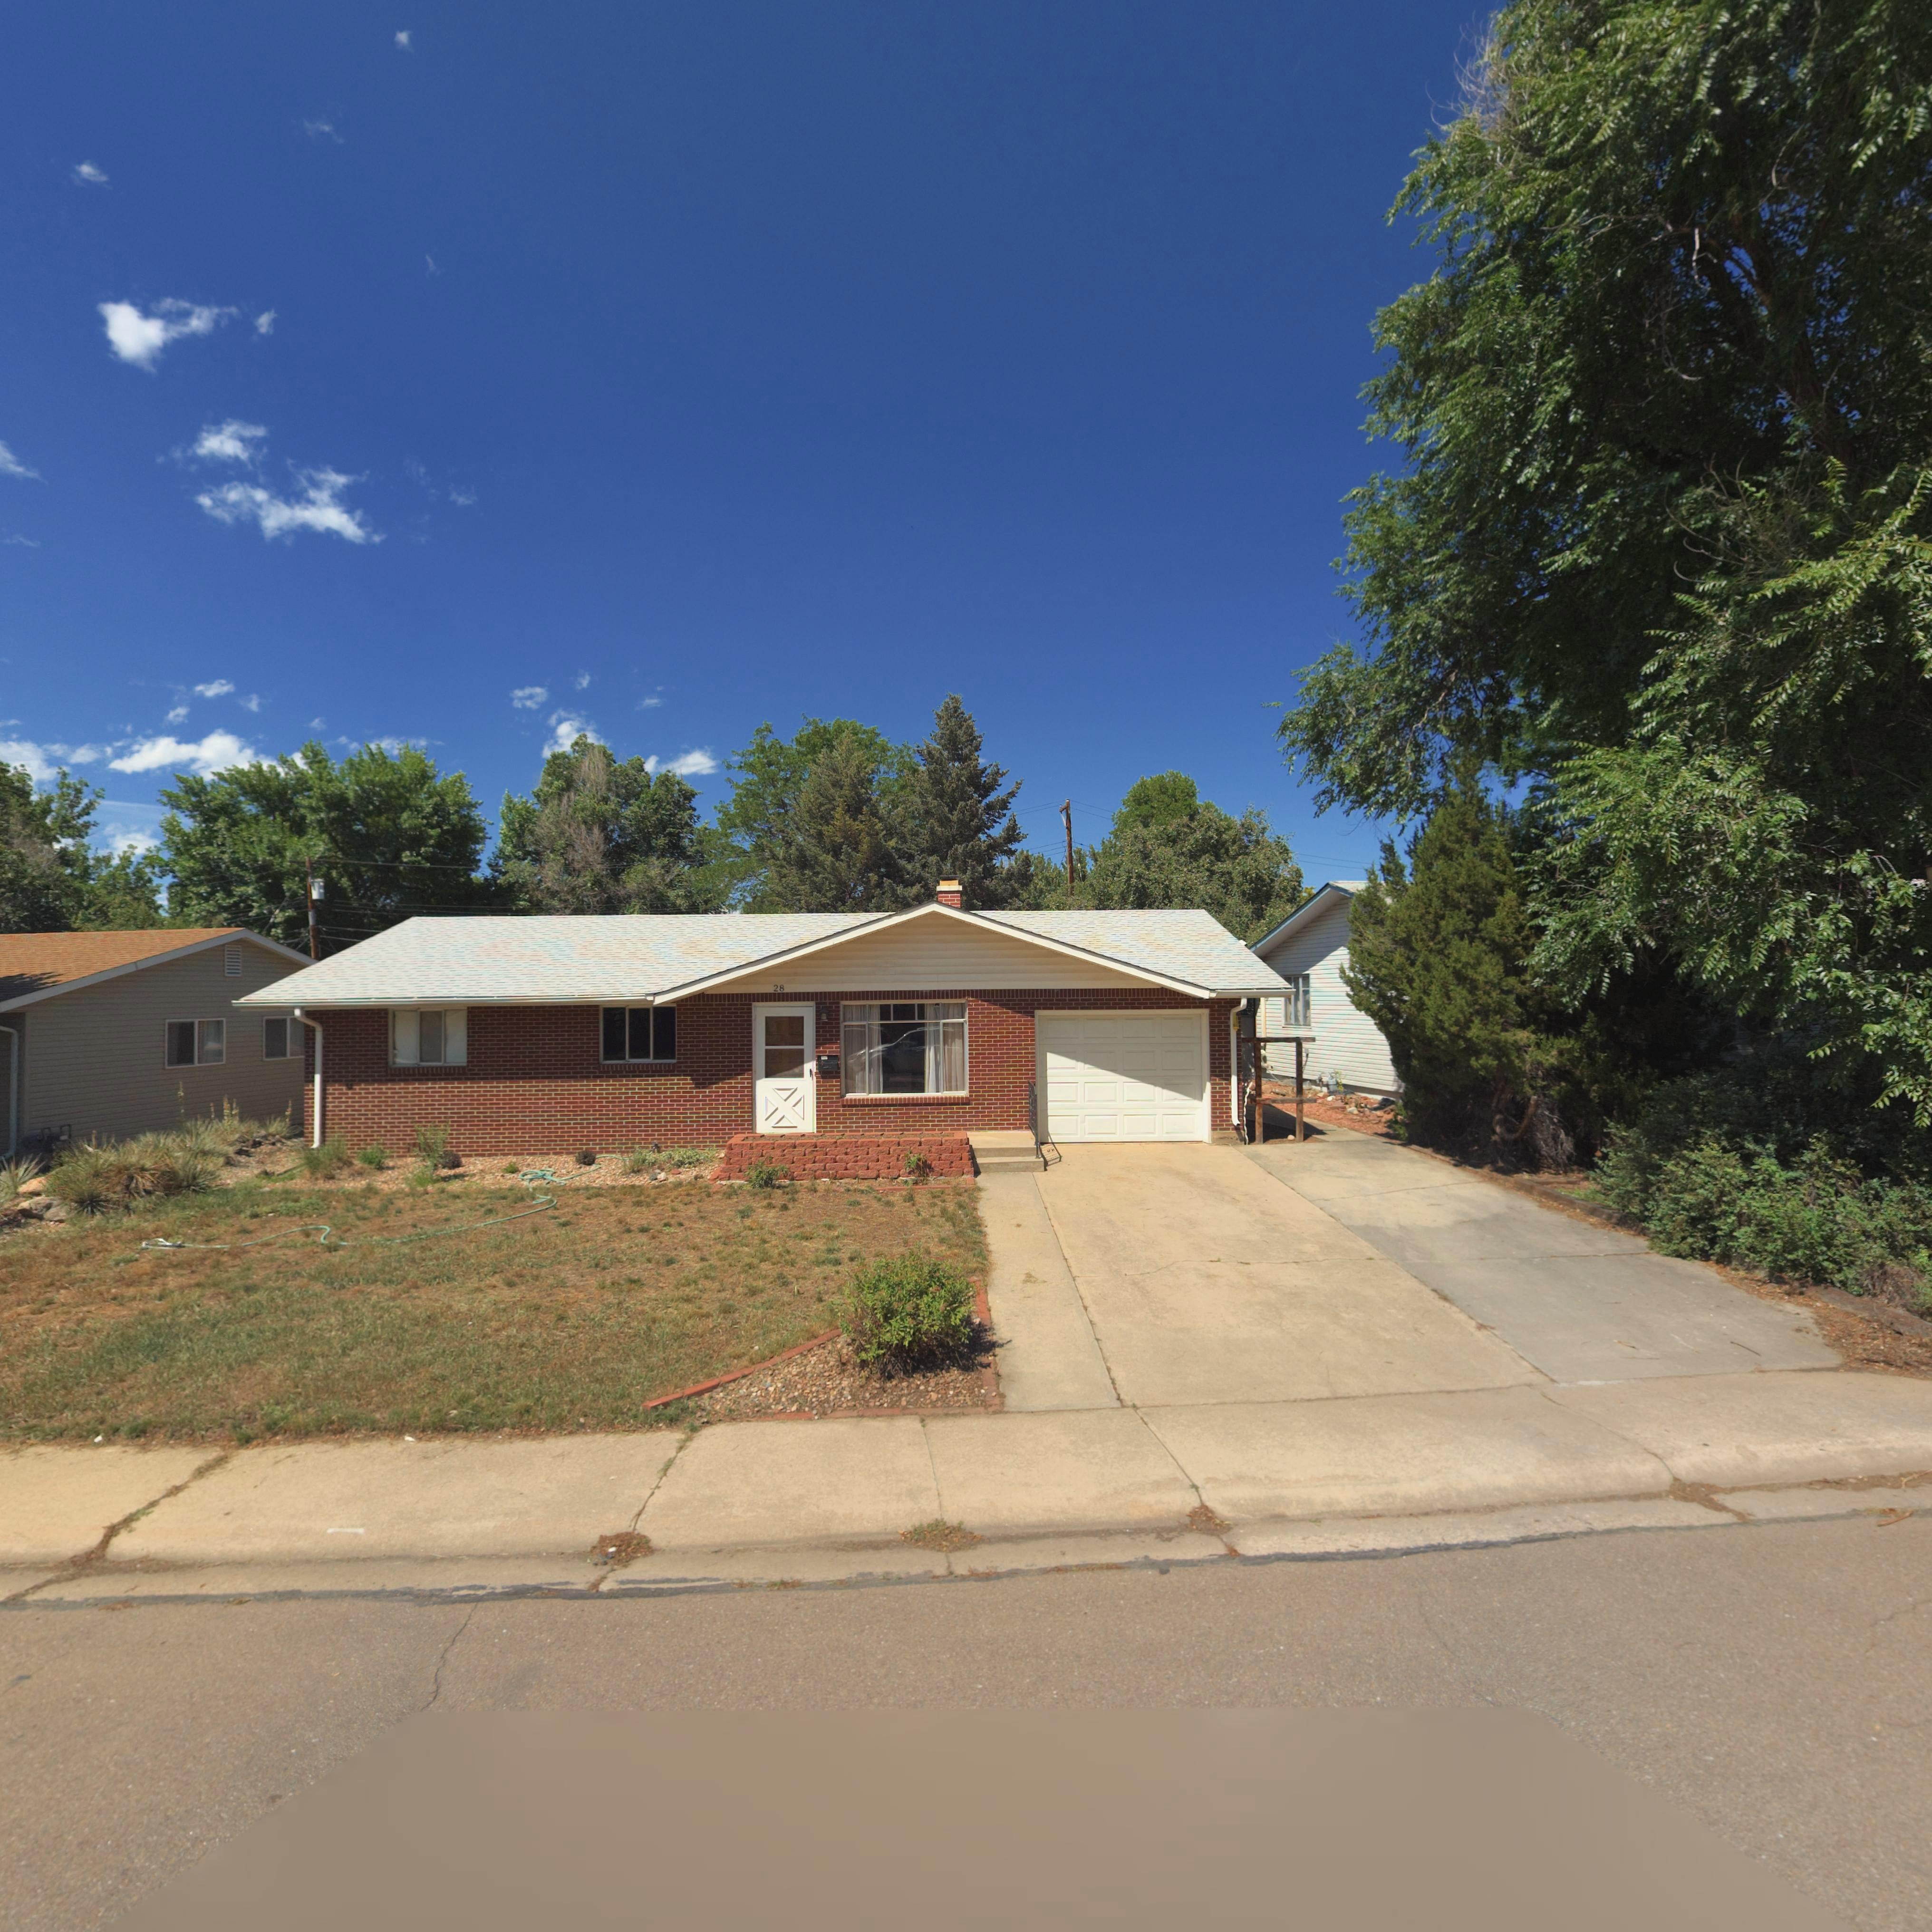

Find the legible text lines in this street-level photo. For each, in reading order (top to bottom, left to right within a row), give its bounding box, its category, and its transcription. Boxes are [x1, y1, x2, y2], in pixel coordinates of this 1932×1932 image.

[773, 985, 784, 992] StreetNumber: 28